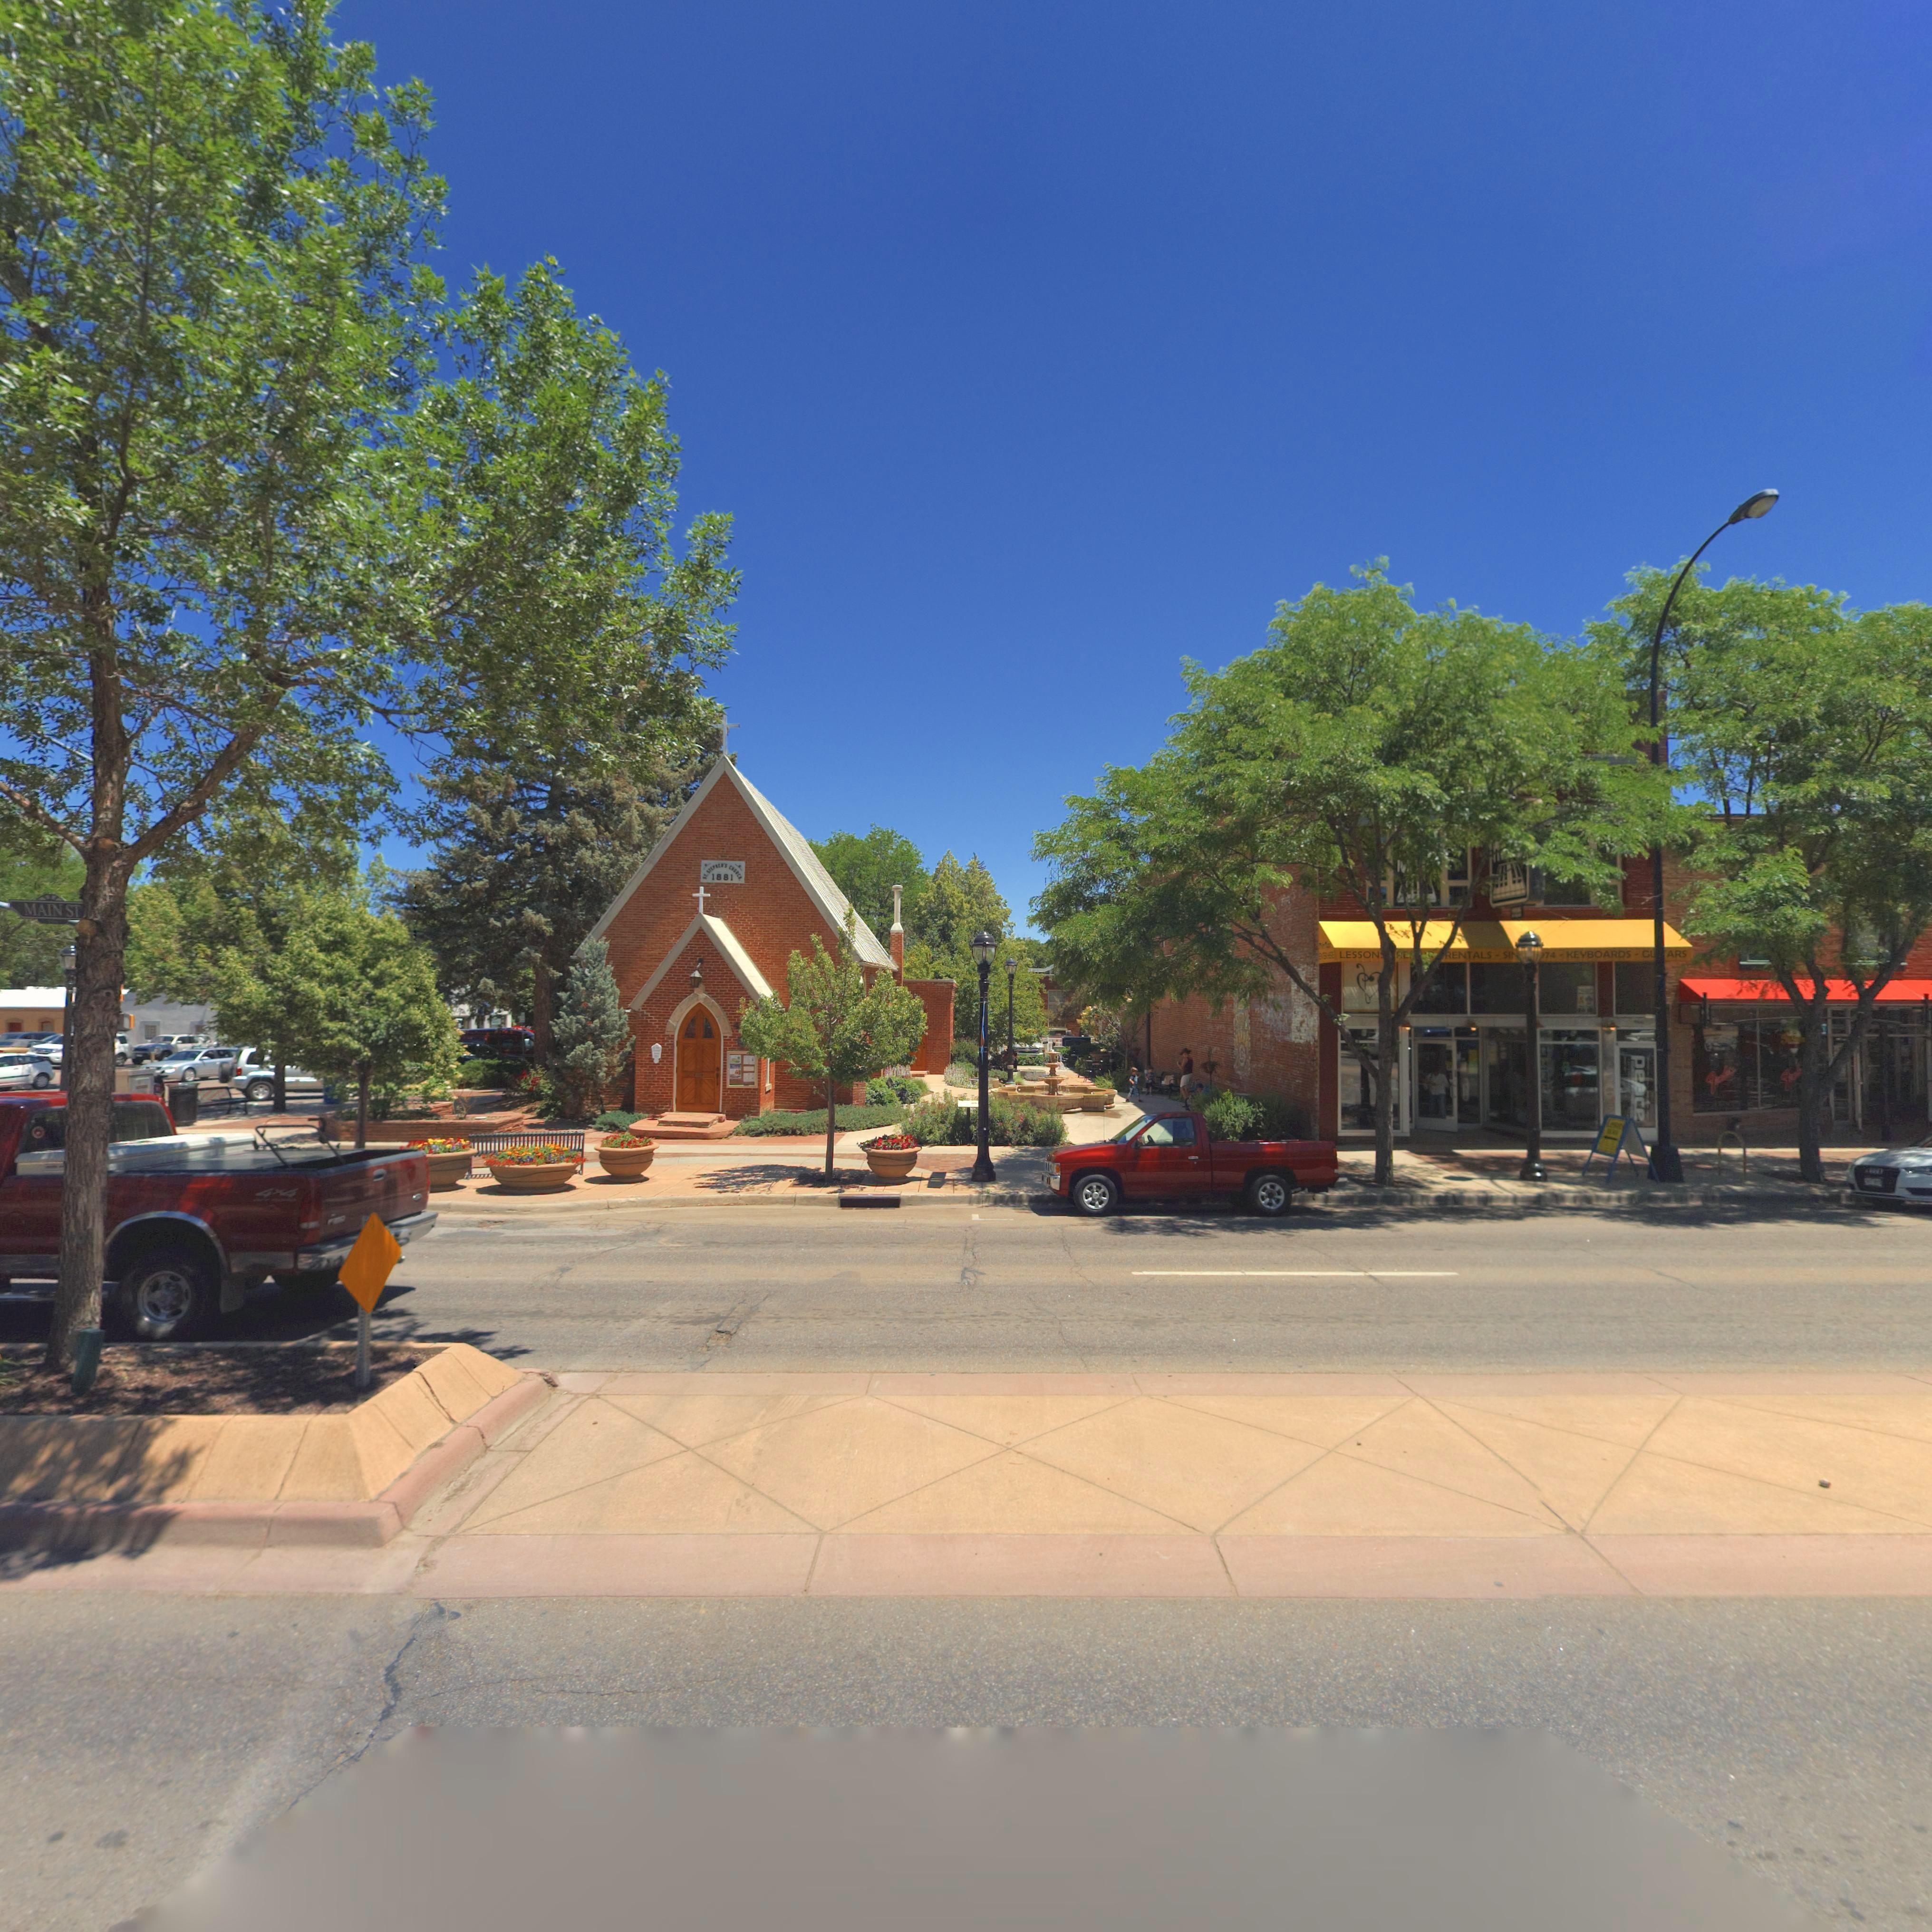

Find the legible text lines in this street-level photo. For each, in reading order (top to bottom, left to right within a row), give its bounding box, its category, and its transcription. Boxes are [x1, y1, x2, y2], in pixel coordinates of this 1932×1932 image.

[22, 901, 82, 918] StreetName: MAIN ST